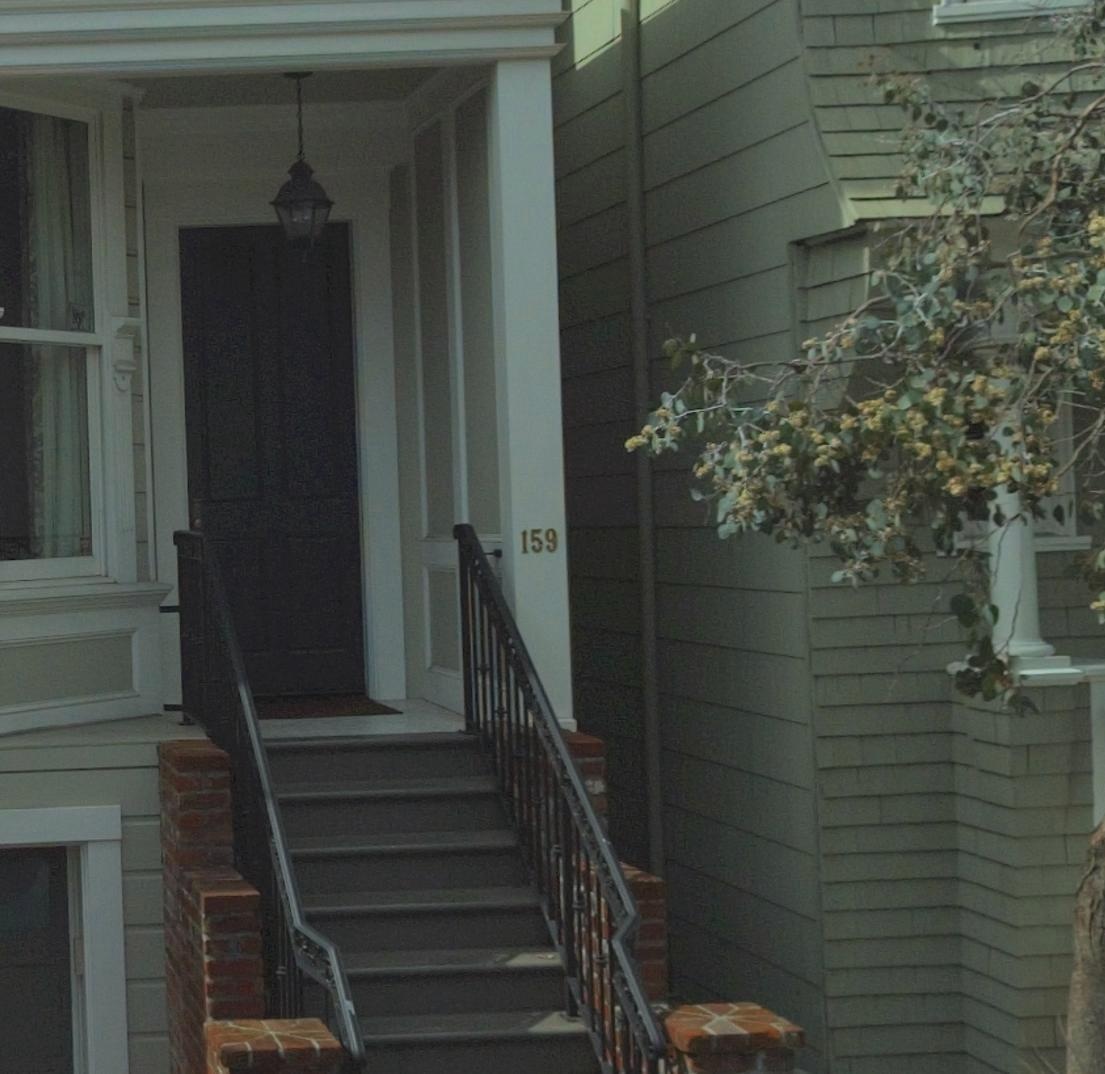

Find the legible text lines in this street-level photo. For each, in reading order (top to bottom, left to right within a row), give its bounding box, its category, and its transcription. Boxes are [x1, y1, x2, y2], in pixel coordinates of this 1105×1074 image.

[518, 525, 560, 558] StreetNumber: 159